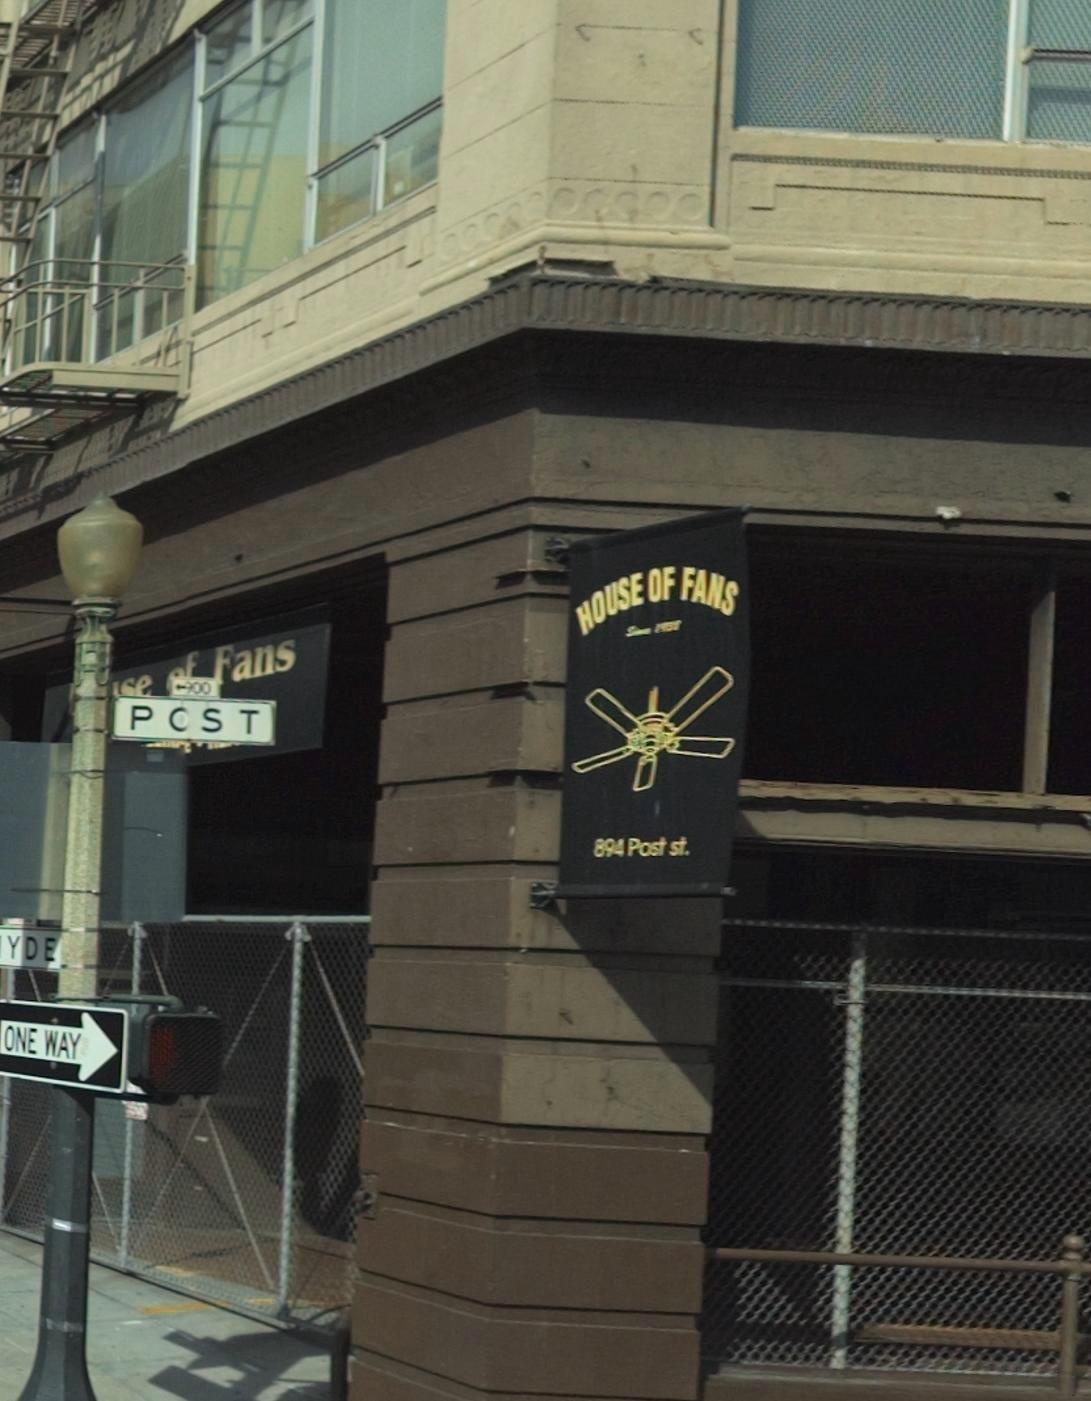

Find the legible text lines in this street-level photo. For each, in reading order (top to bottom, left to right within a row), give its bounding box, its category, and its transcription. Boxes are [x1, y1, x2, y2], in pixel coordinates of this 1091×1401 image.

[571, 561, 745, 639] BusinessName: HOUSE OF FANS
[212, 635, 301, 688] BusinessName: Fans
[172, 677, 214, 697] StreetNumberRange: <-900
[126, 699, 264, 738] StreetName: P*ST
[590, 835, 627, 862] StreetNumber: 894
[625, 831, 693, 862] StreetName: Post st.
[2, 932, 60, 965] StreetName: YDE
[1, 1023, 84, 1062] None: ONE WAY